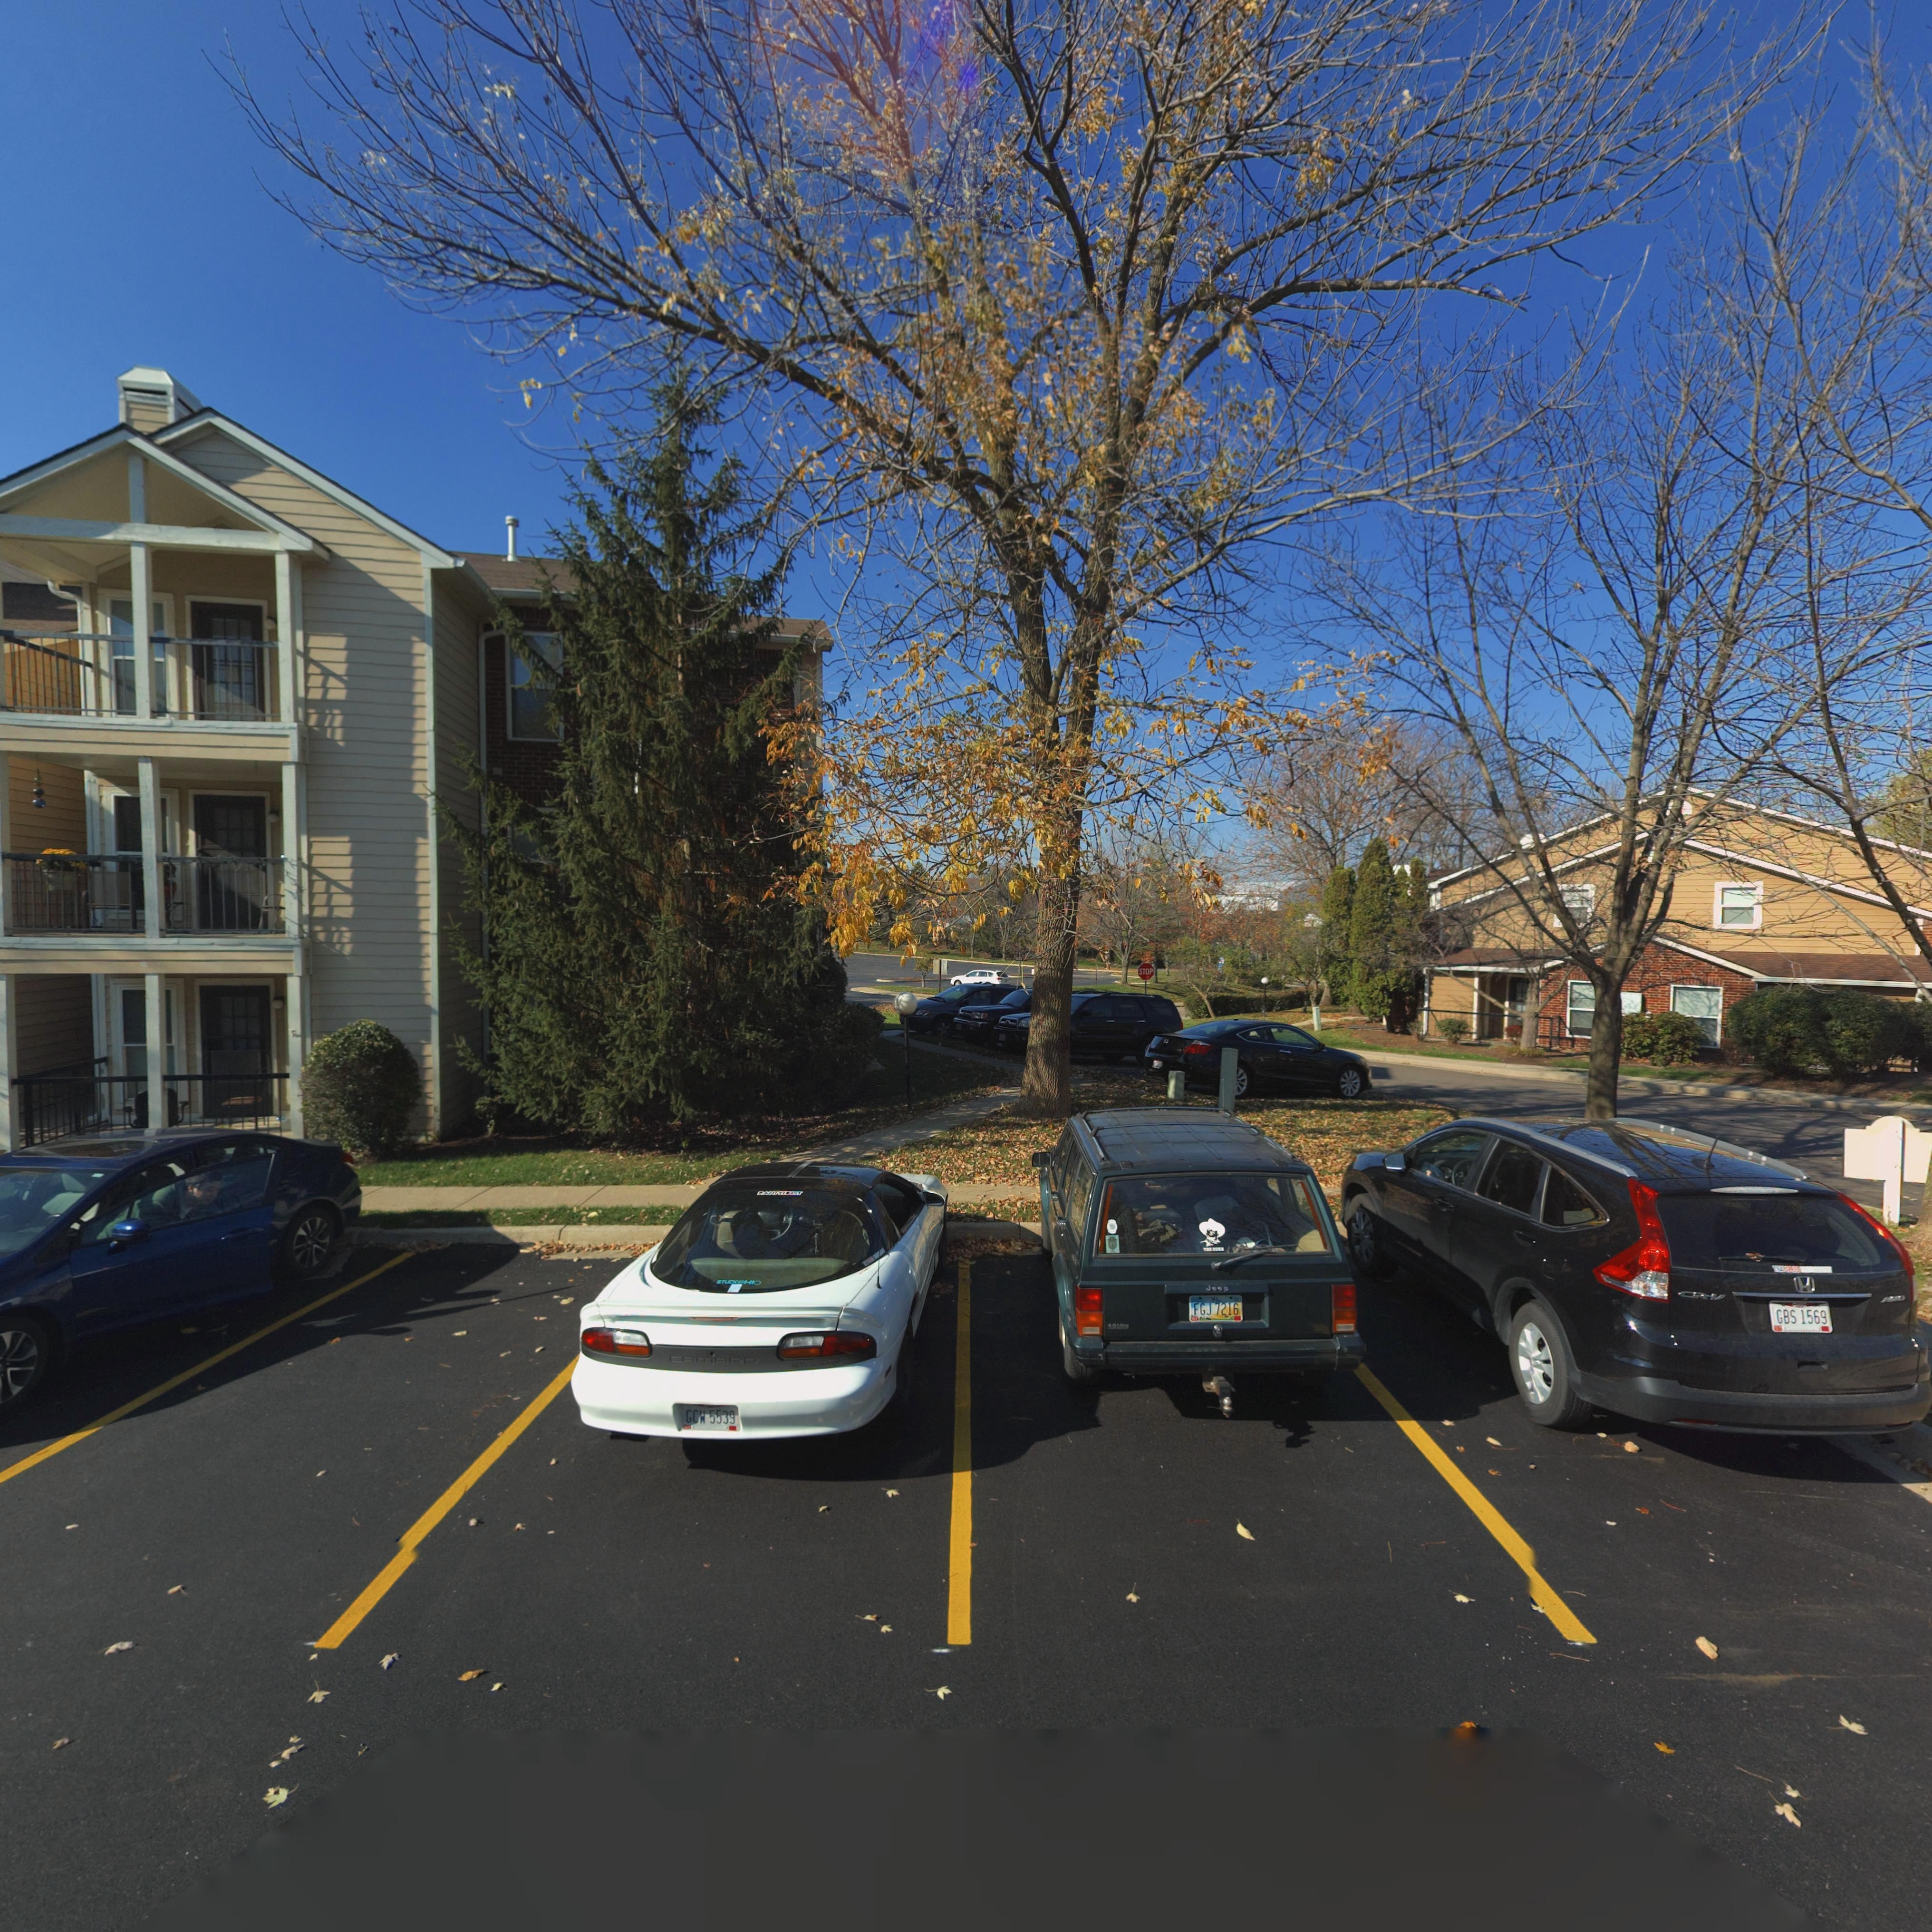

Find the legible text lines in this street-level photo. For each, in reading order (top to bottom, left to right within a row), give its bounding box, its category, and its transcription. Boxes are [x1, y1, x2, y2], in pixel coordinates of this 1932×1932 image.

[715, 1279, 763, 1286] None: ST****HIO
[1205, 1284, 1230, 1293] None: J**p
[1678, 1290, 1728, 1303] None: C*-V
[1193, 1302, 1239, 1316] None: FGJ 7216
[1775, 1307, 1829, 1326] None: GBS 1569
[669, 1354, 760, 1365] None: CAMARO
[685, 1408, 736, 1426] None: GCW 5539